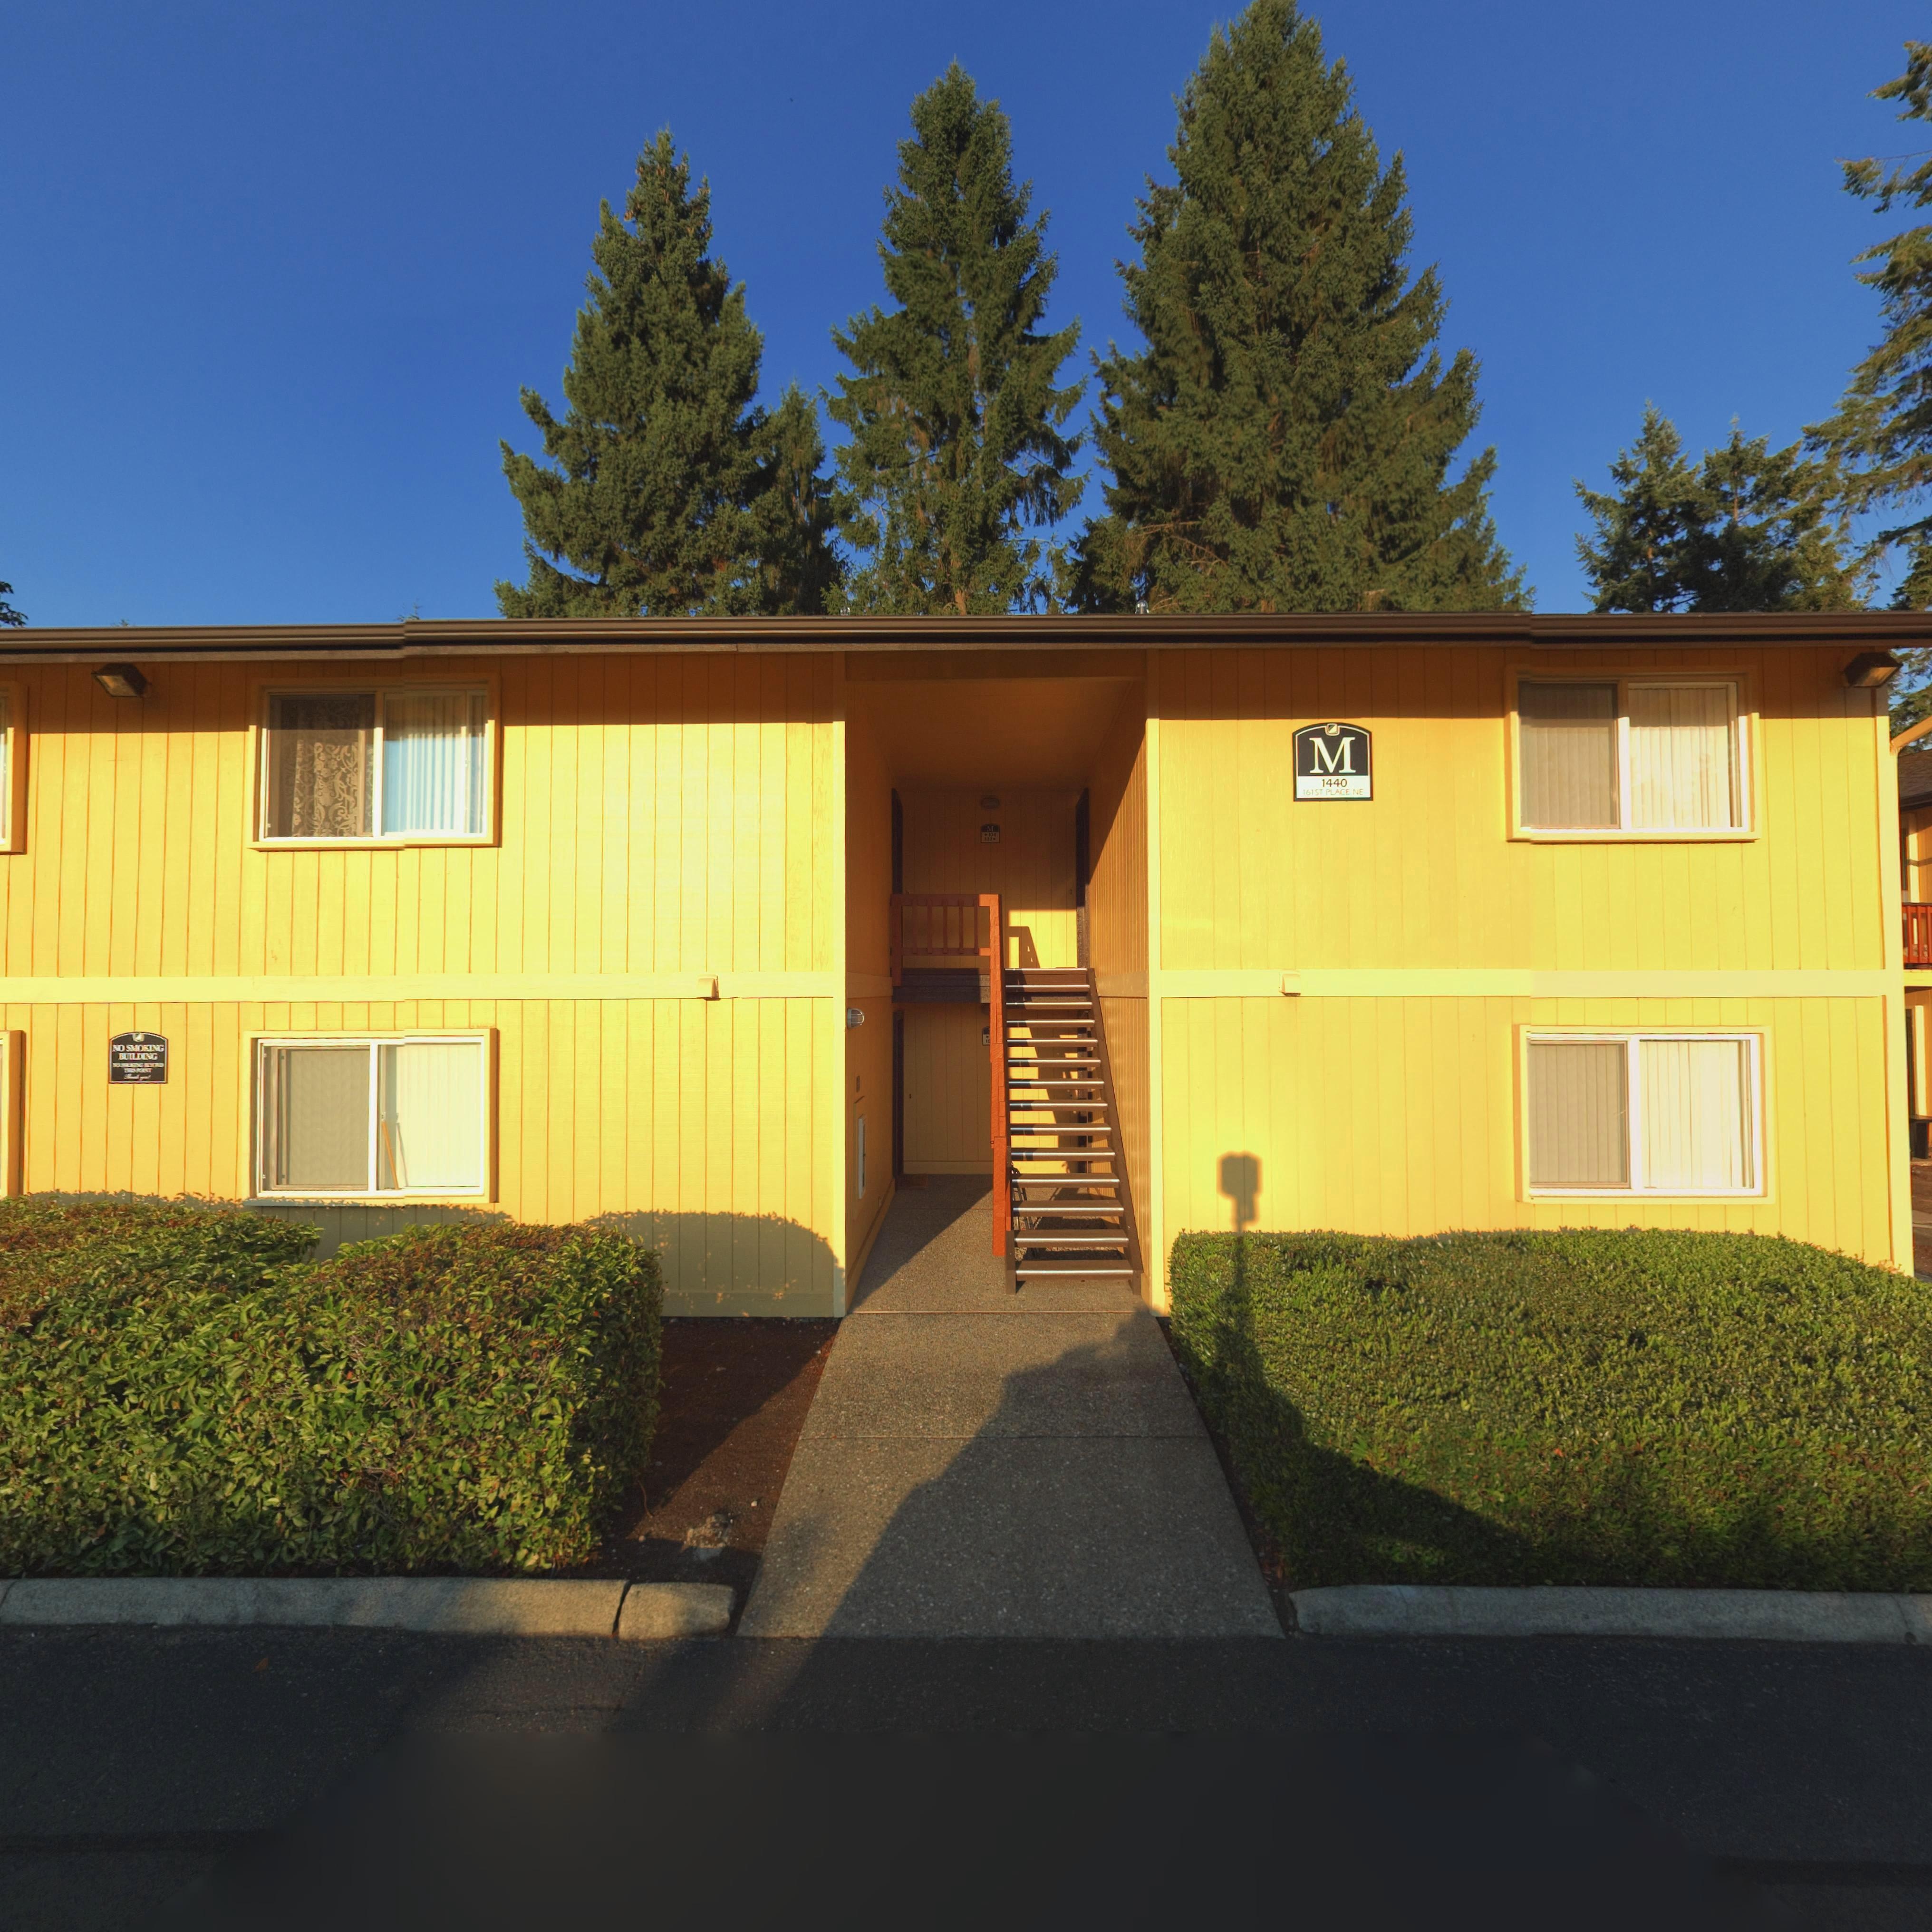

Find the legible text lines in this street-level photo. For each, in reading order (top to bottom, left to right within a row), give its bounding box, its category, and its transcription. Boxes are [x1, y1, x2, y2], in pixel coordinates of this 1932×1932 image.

[1322, 778, 1347, 787] StreetNumber: 1440
[1302, 788, 1363, 796] StreetName: 161ST PLACE NE